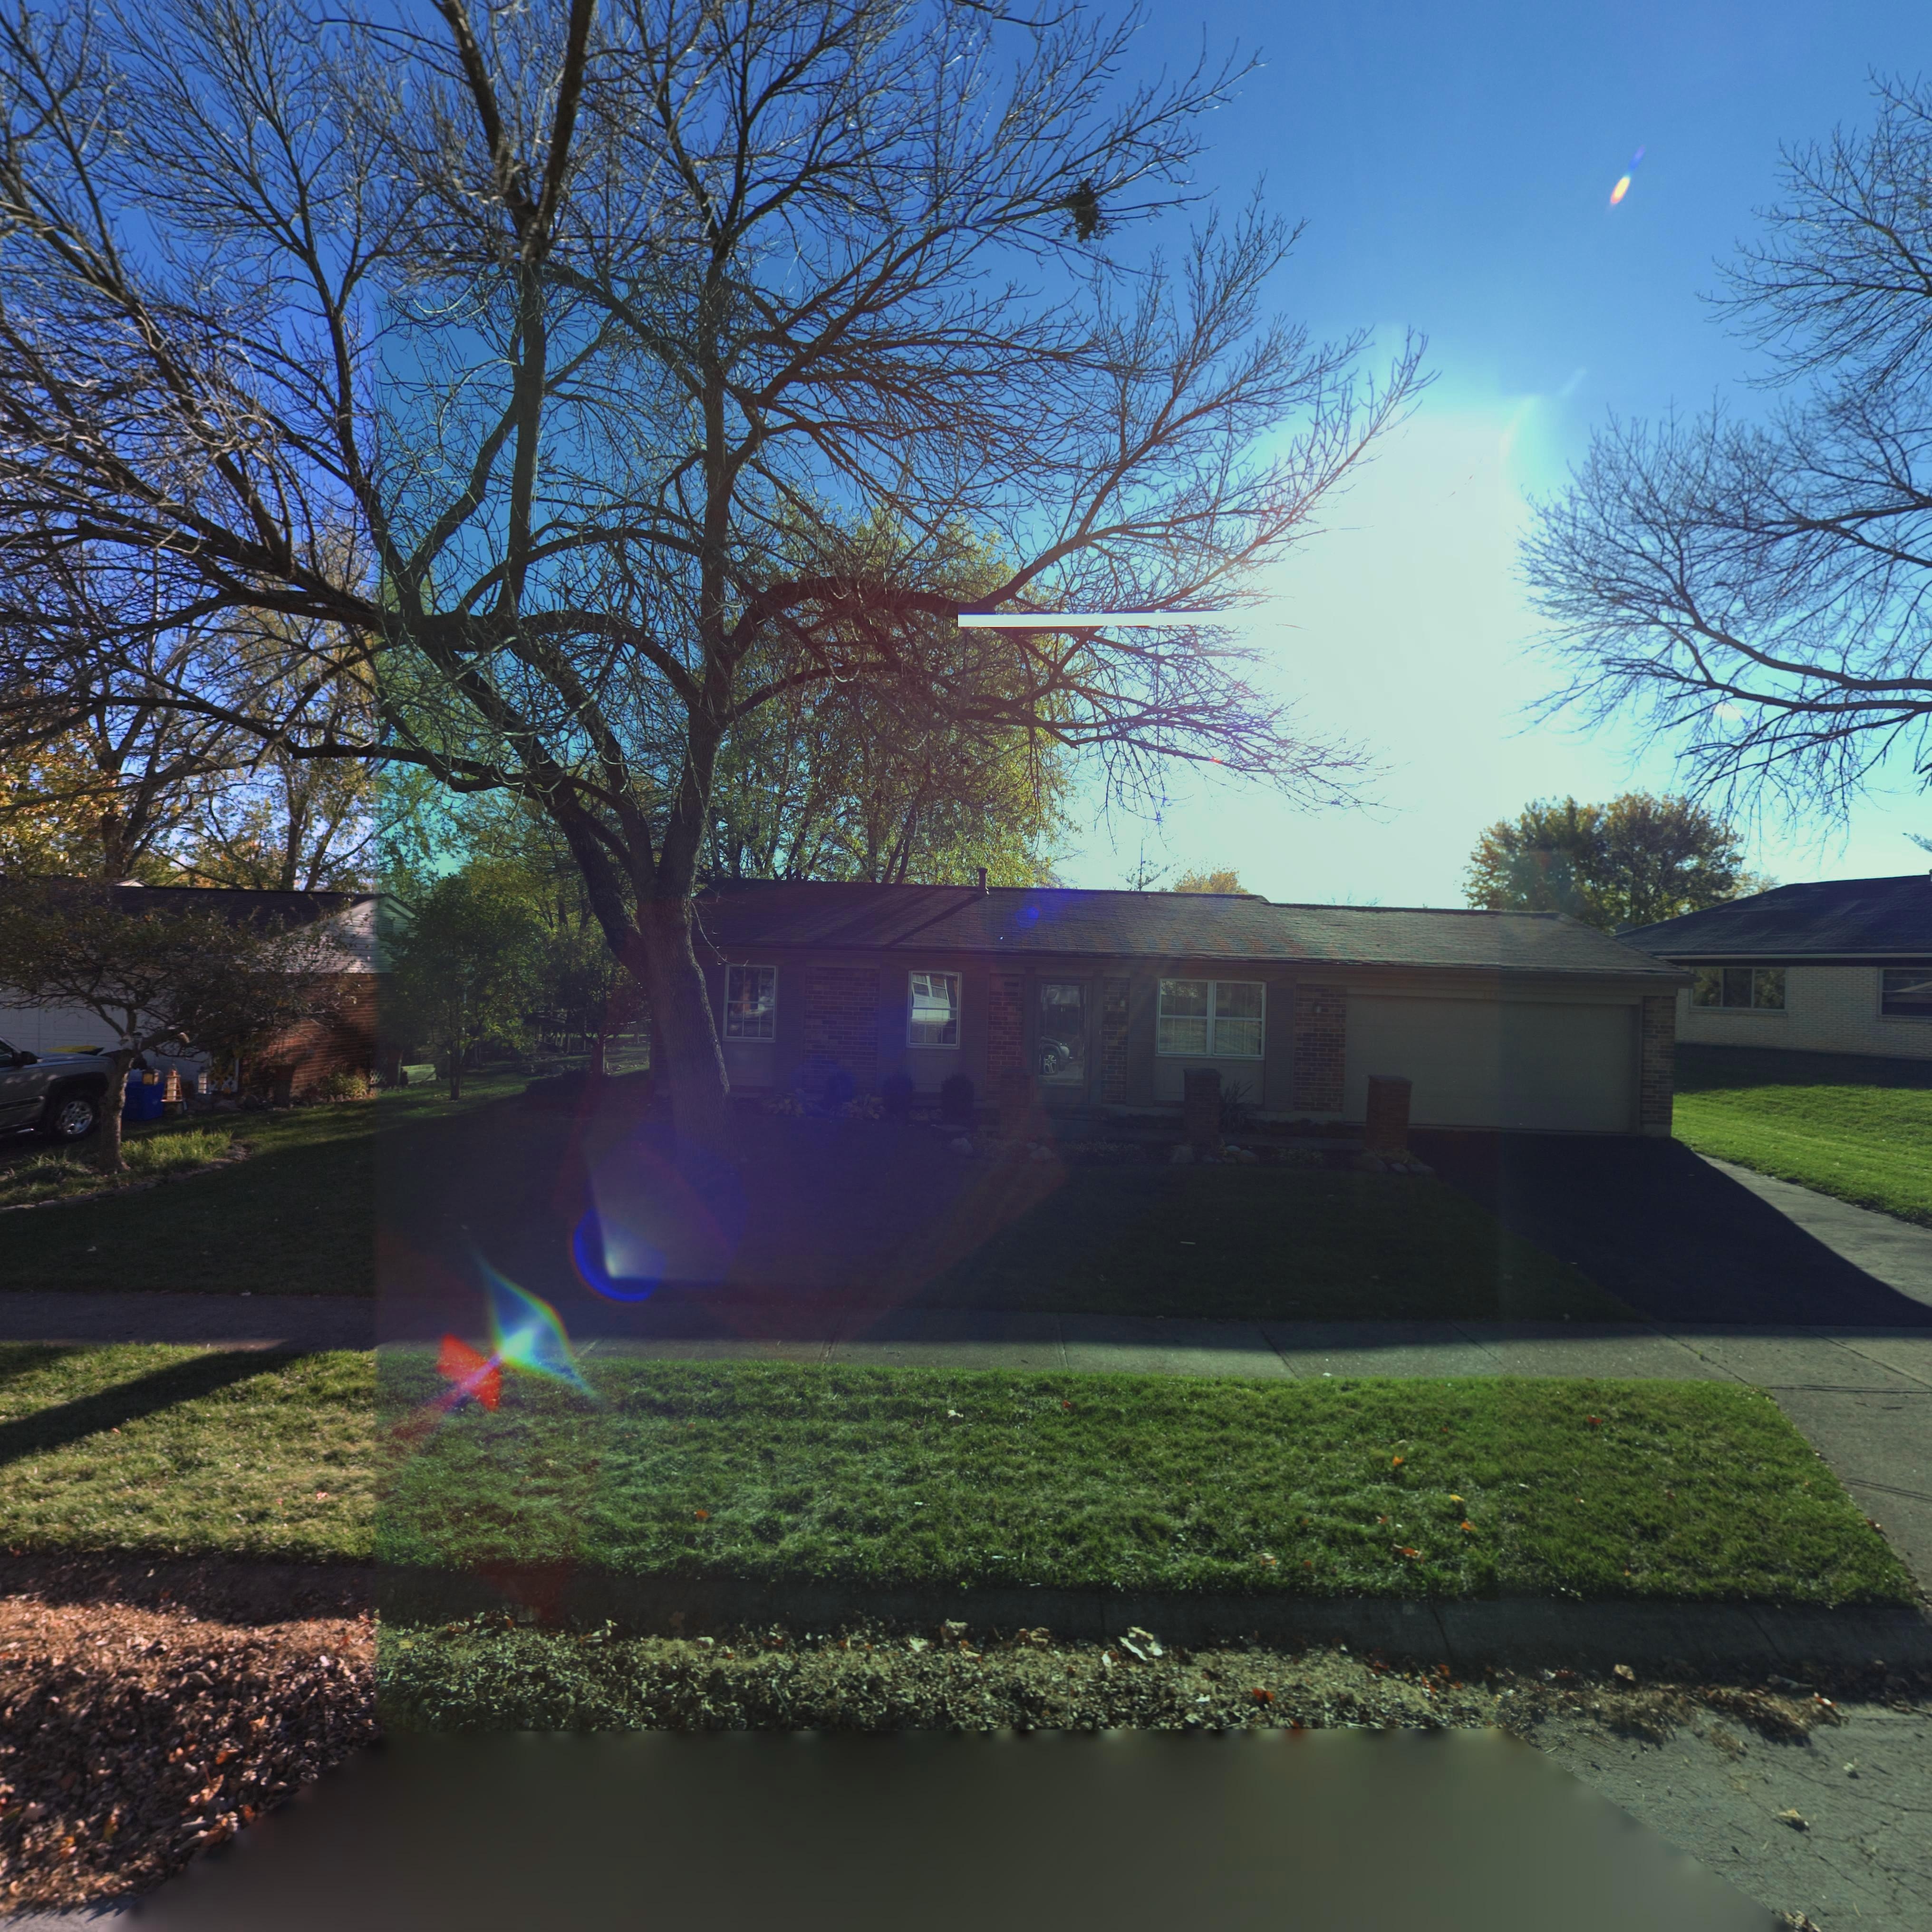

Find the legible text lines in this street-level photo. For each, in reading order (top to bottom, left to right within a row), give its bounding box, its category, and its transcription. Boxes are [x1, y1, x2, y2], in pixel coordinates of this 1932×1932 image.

[1481, 990, 1505, 1000] StreetNumber: 455*